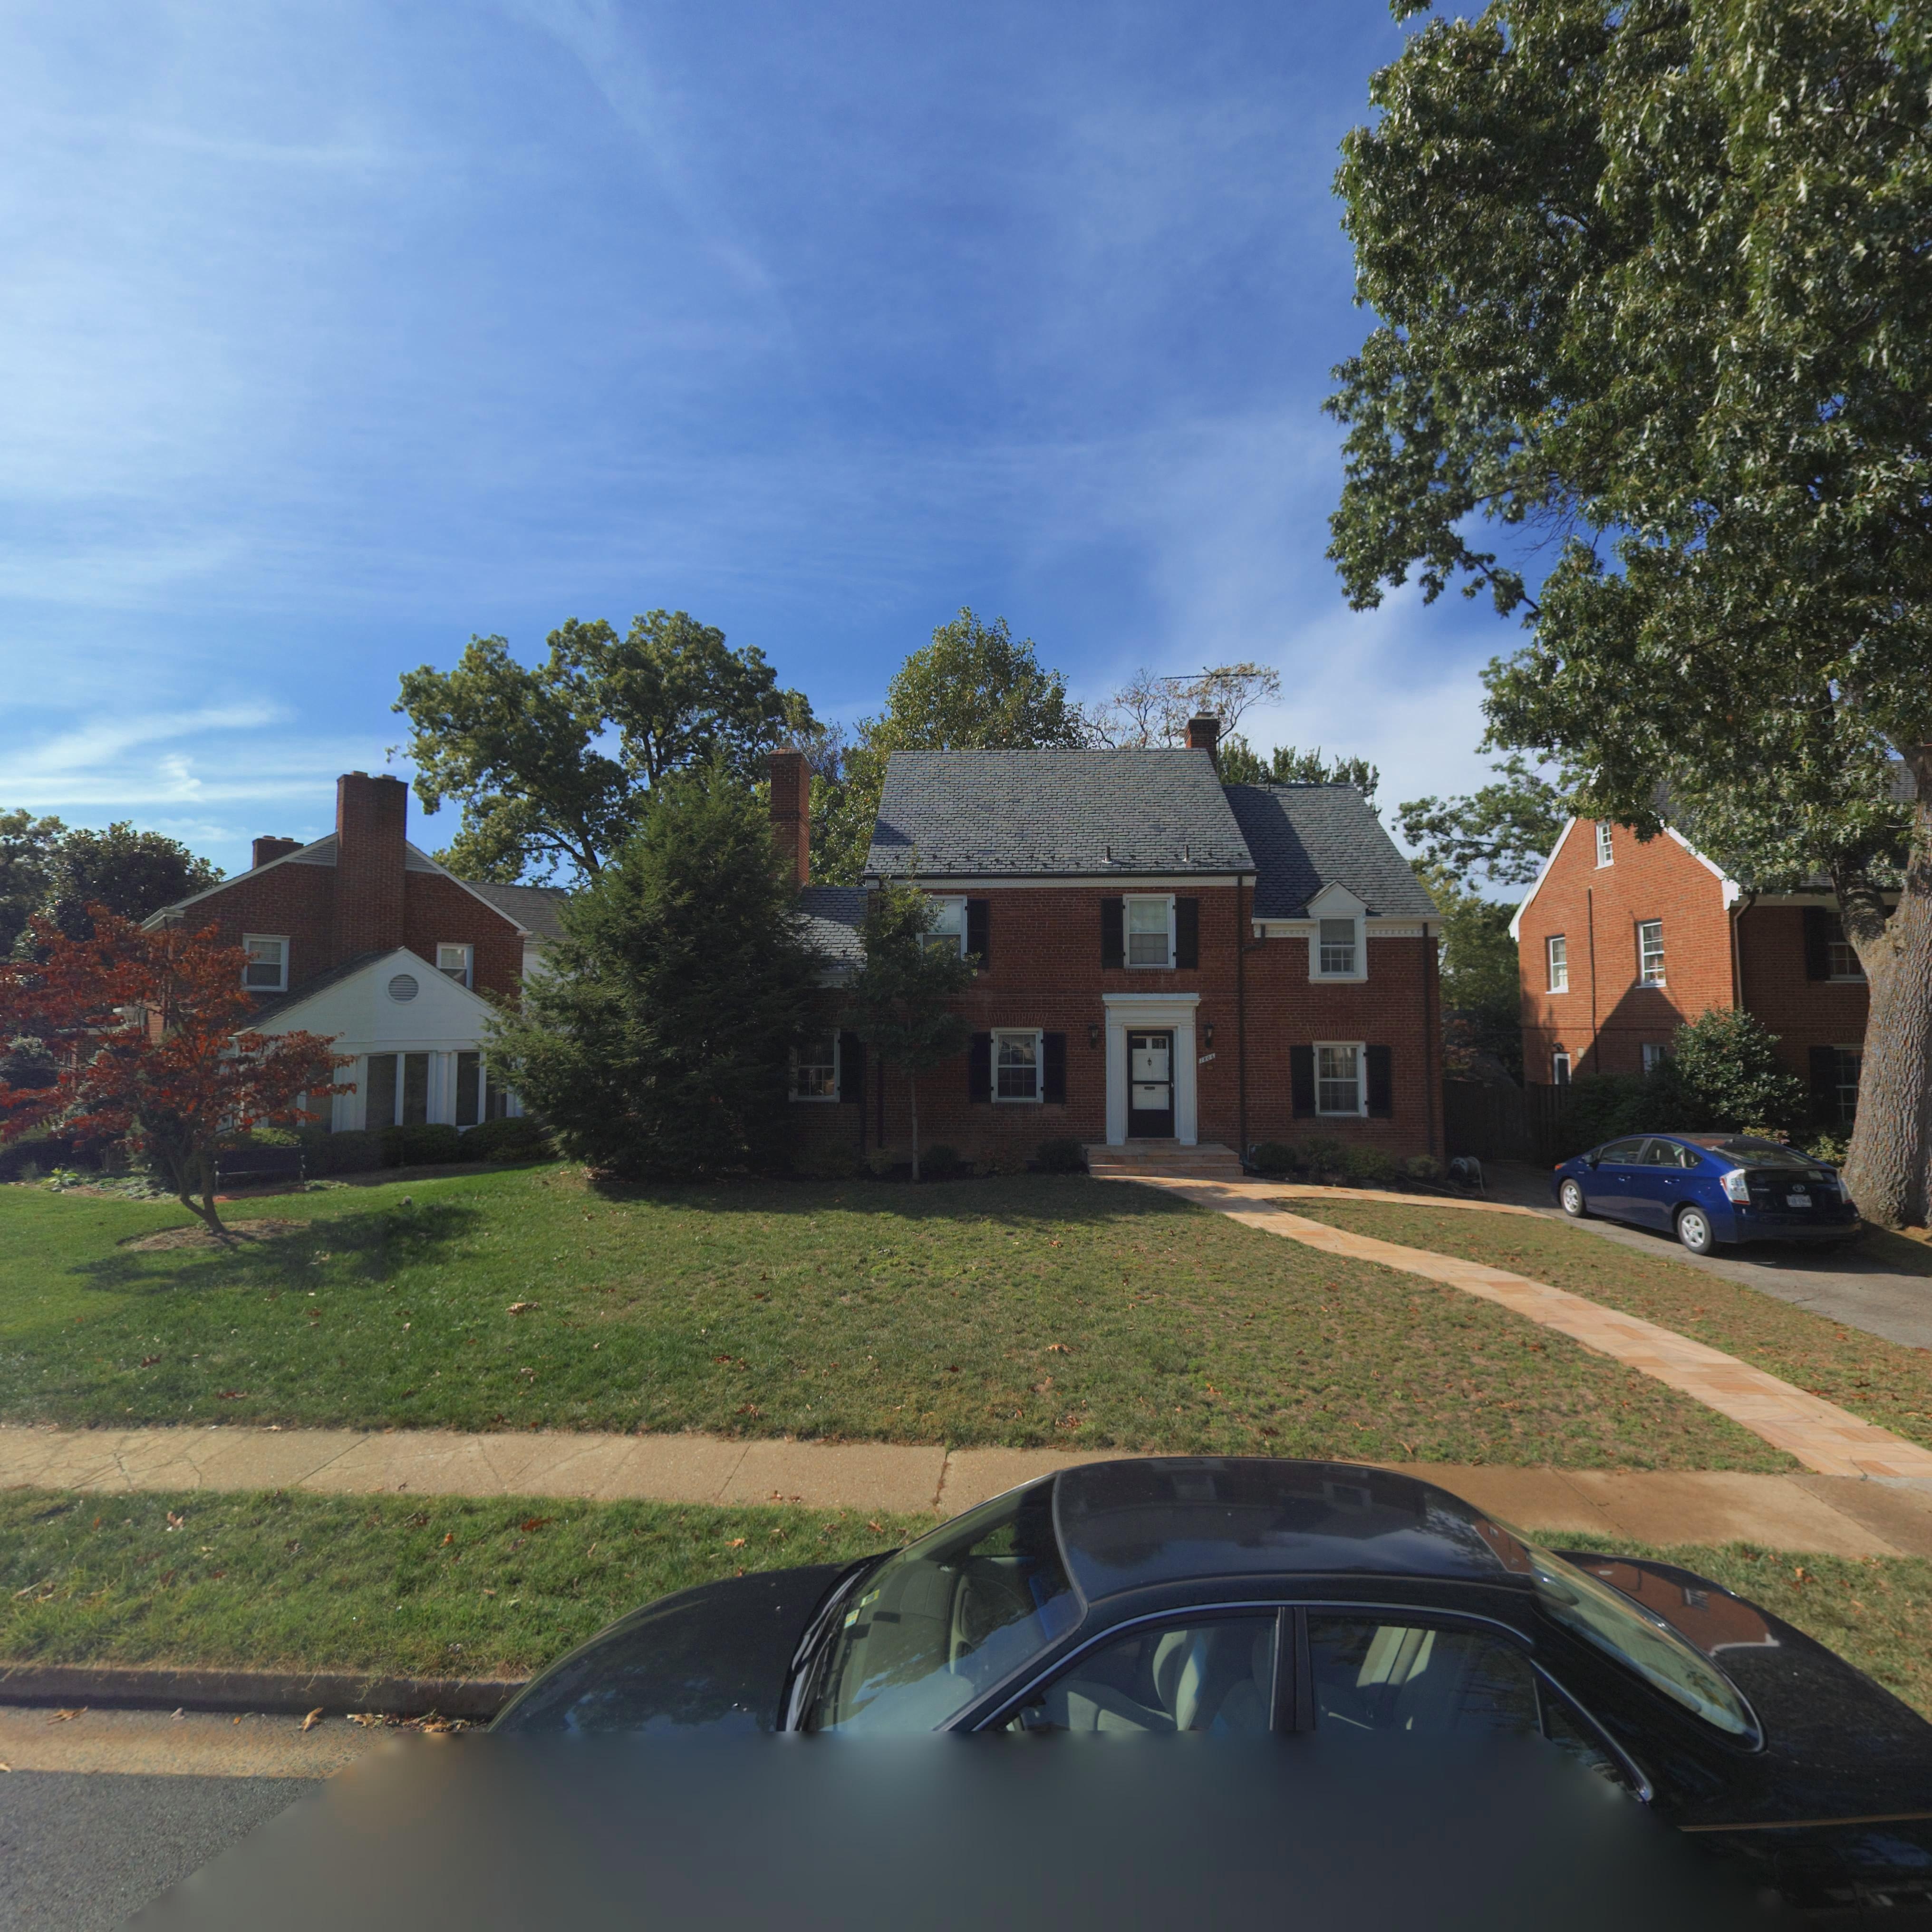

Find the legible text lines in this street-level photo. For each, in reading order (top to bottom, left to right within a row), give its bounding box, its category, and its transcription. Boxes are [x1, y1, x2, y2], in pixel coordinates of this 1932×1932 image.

[1199, 1053, 1215, 1064] StreetNumber: 1806